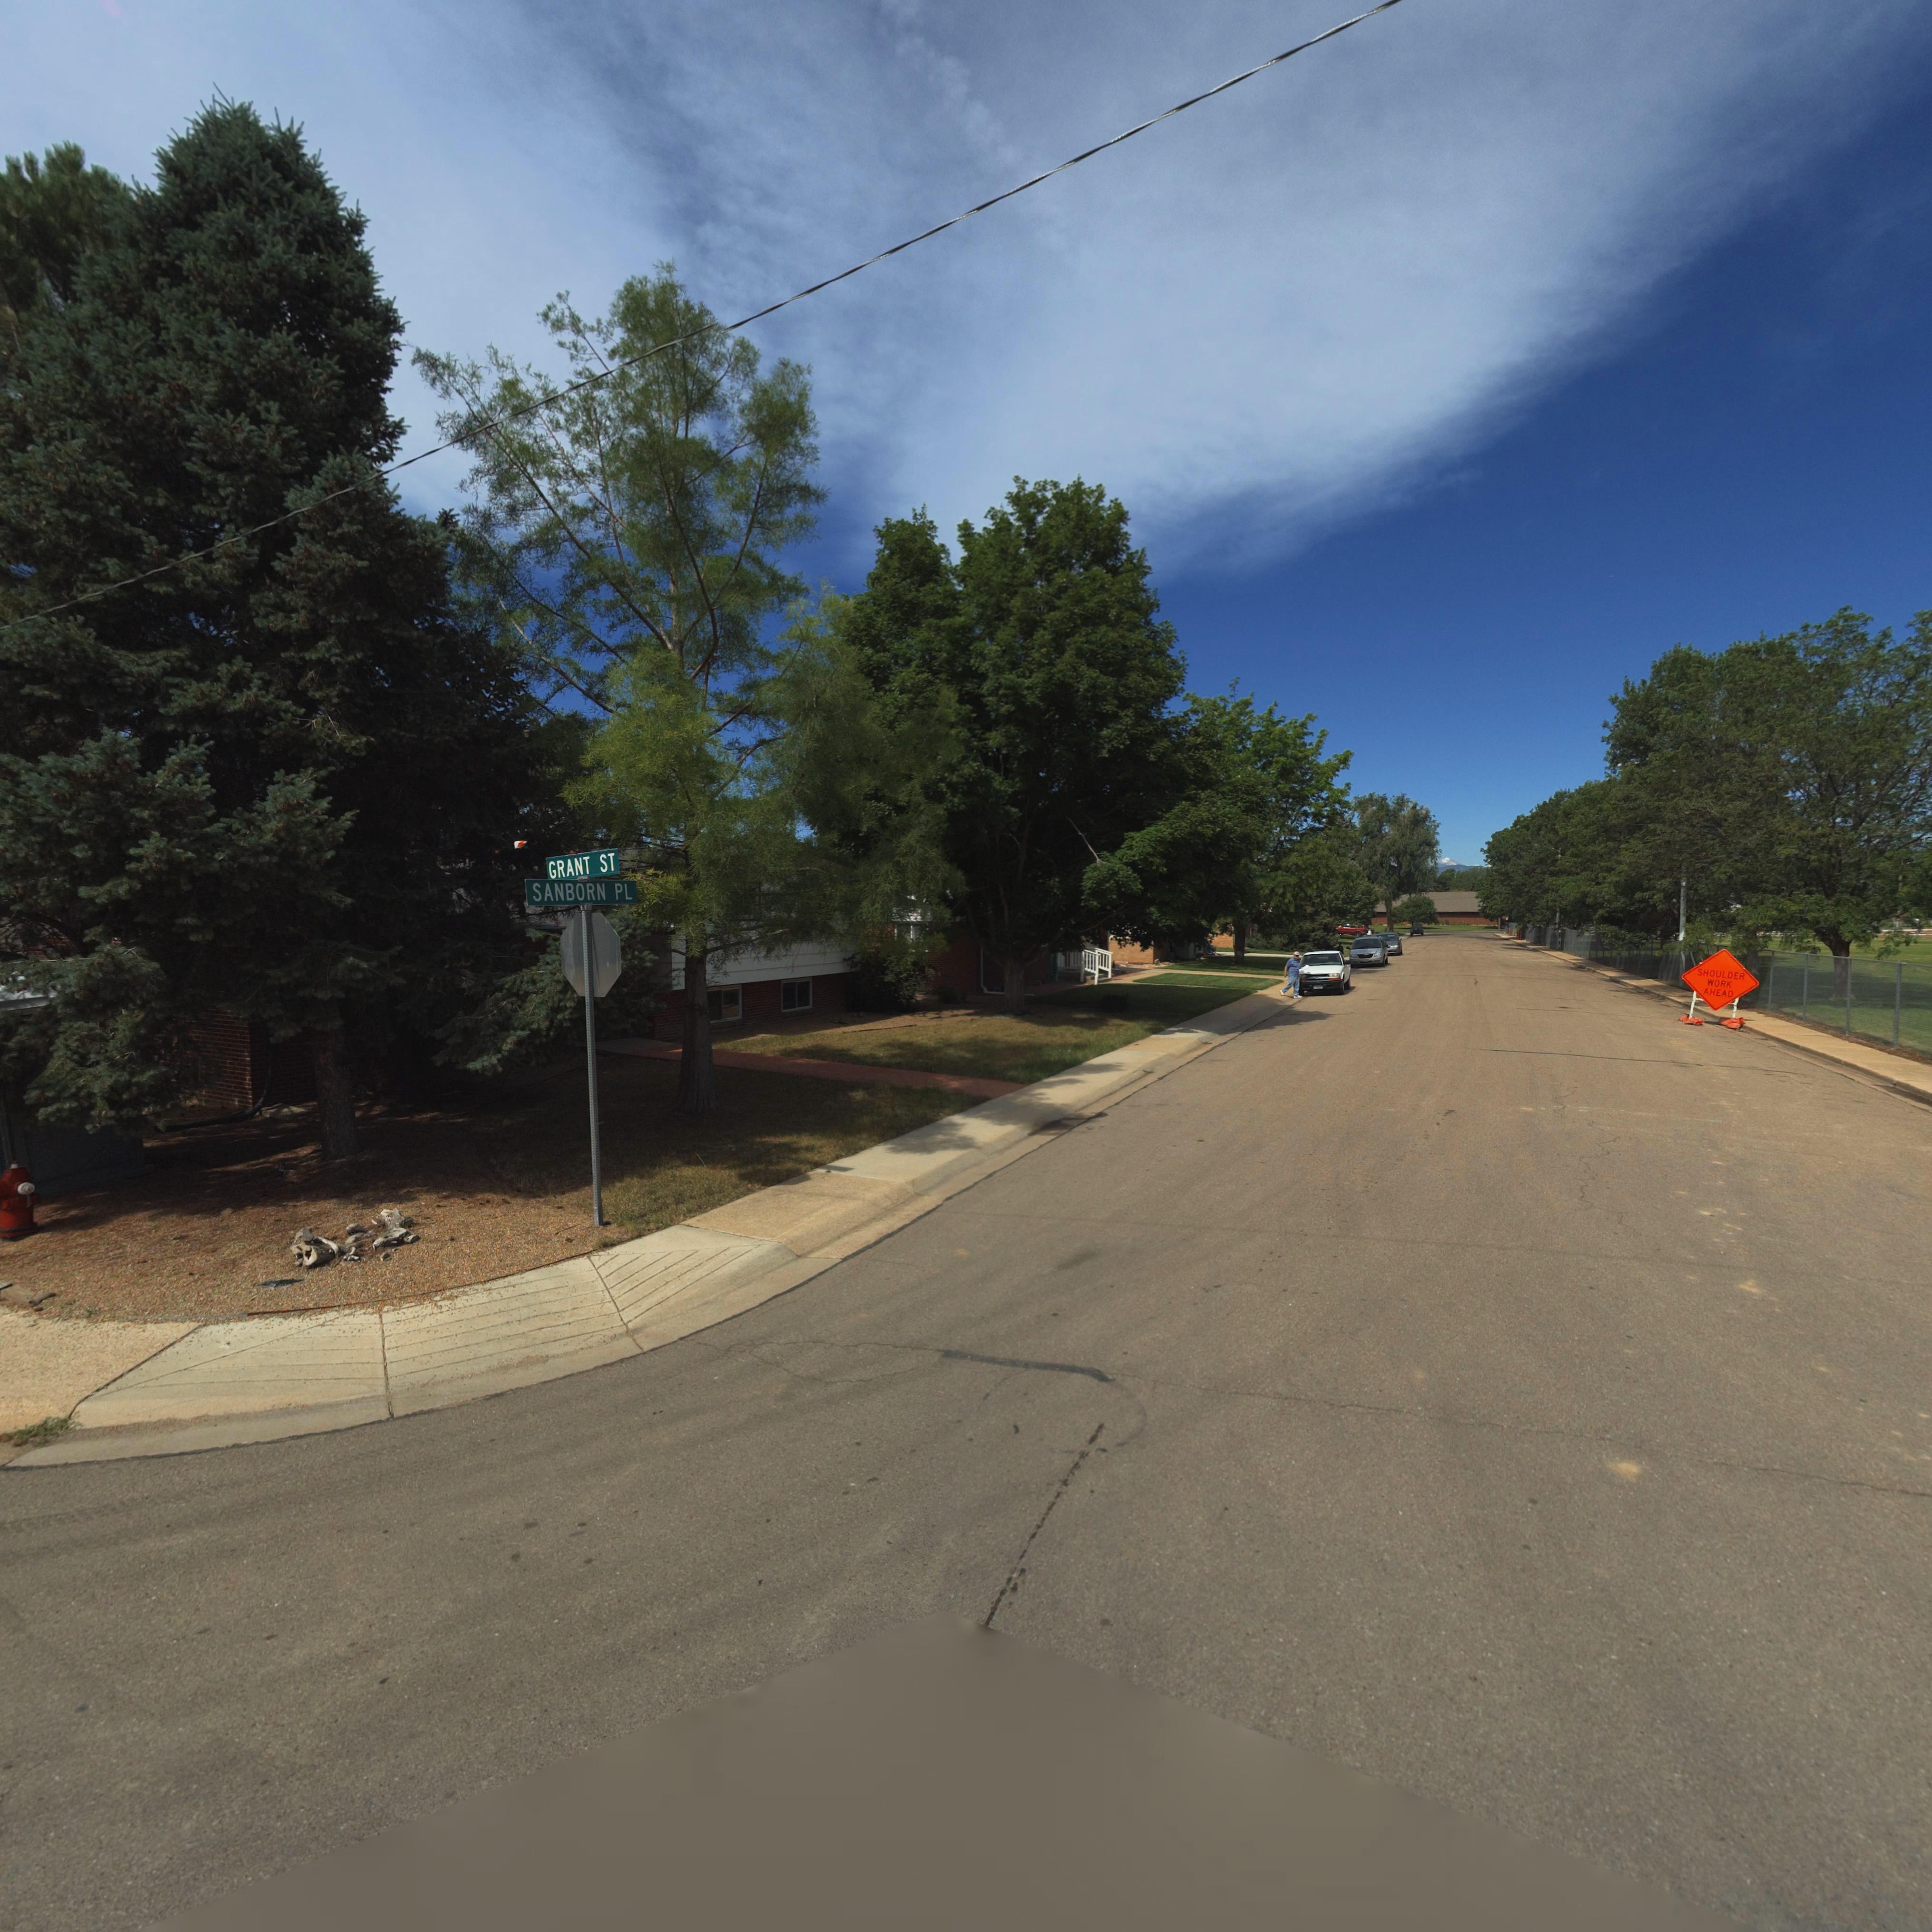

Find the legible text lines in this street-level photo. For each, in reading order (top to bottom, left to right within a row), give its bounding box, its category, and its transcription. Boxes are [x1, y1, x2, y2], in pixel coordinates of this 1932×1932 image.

[548, 852, 615, 879] StreetName: GRANT ST
[531, 882, 633, 902] StreetName: SANBORN PL